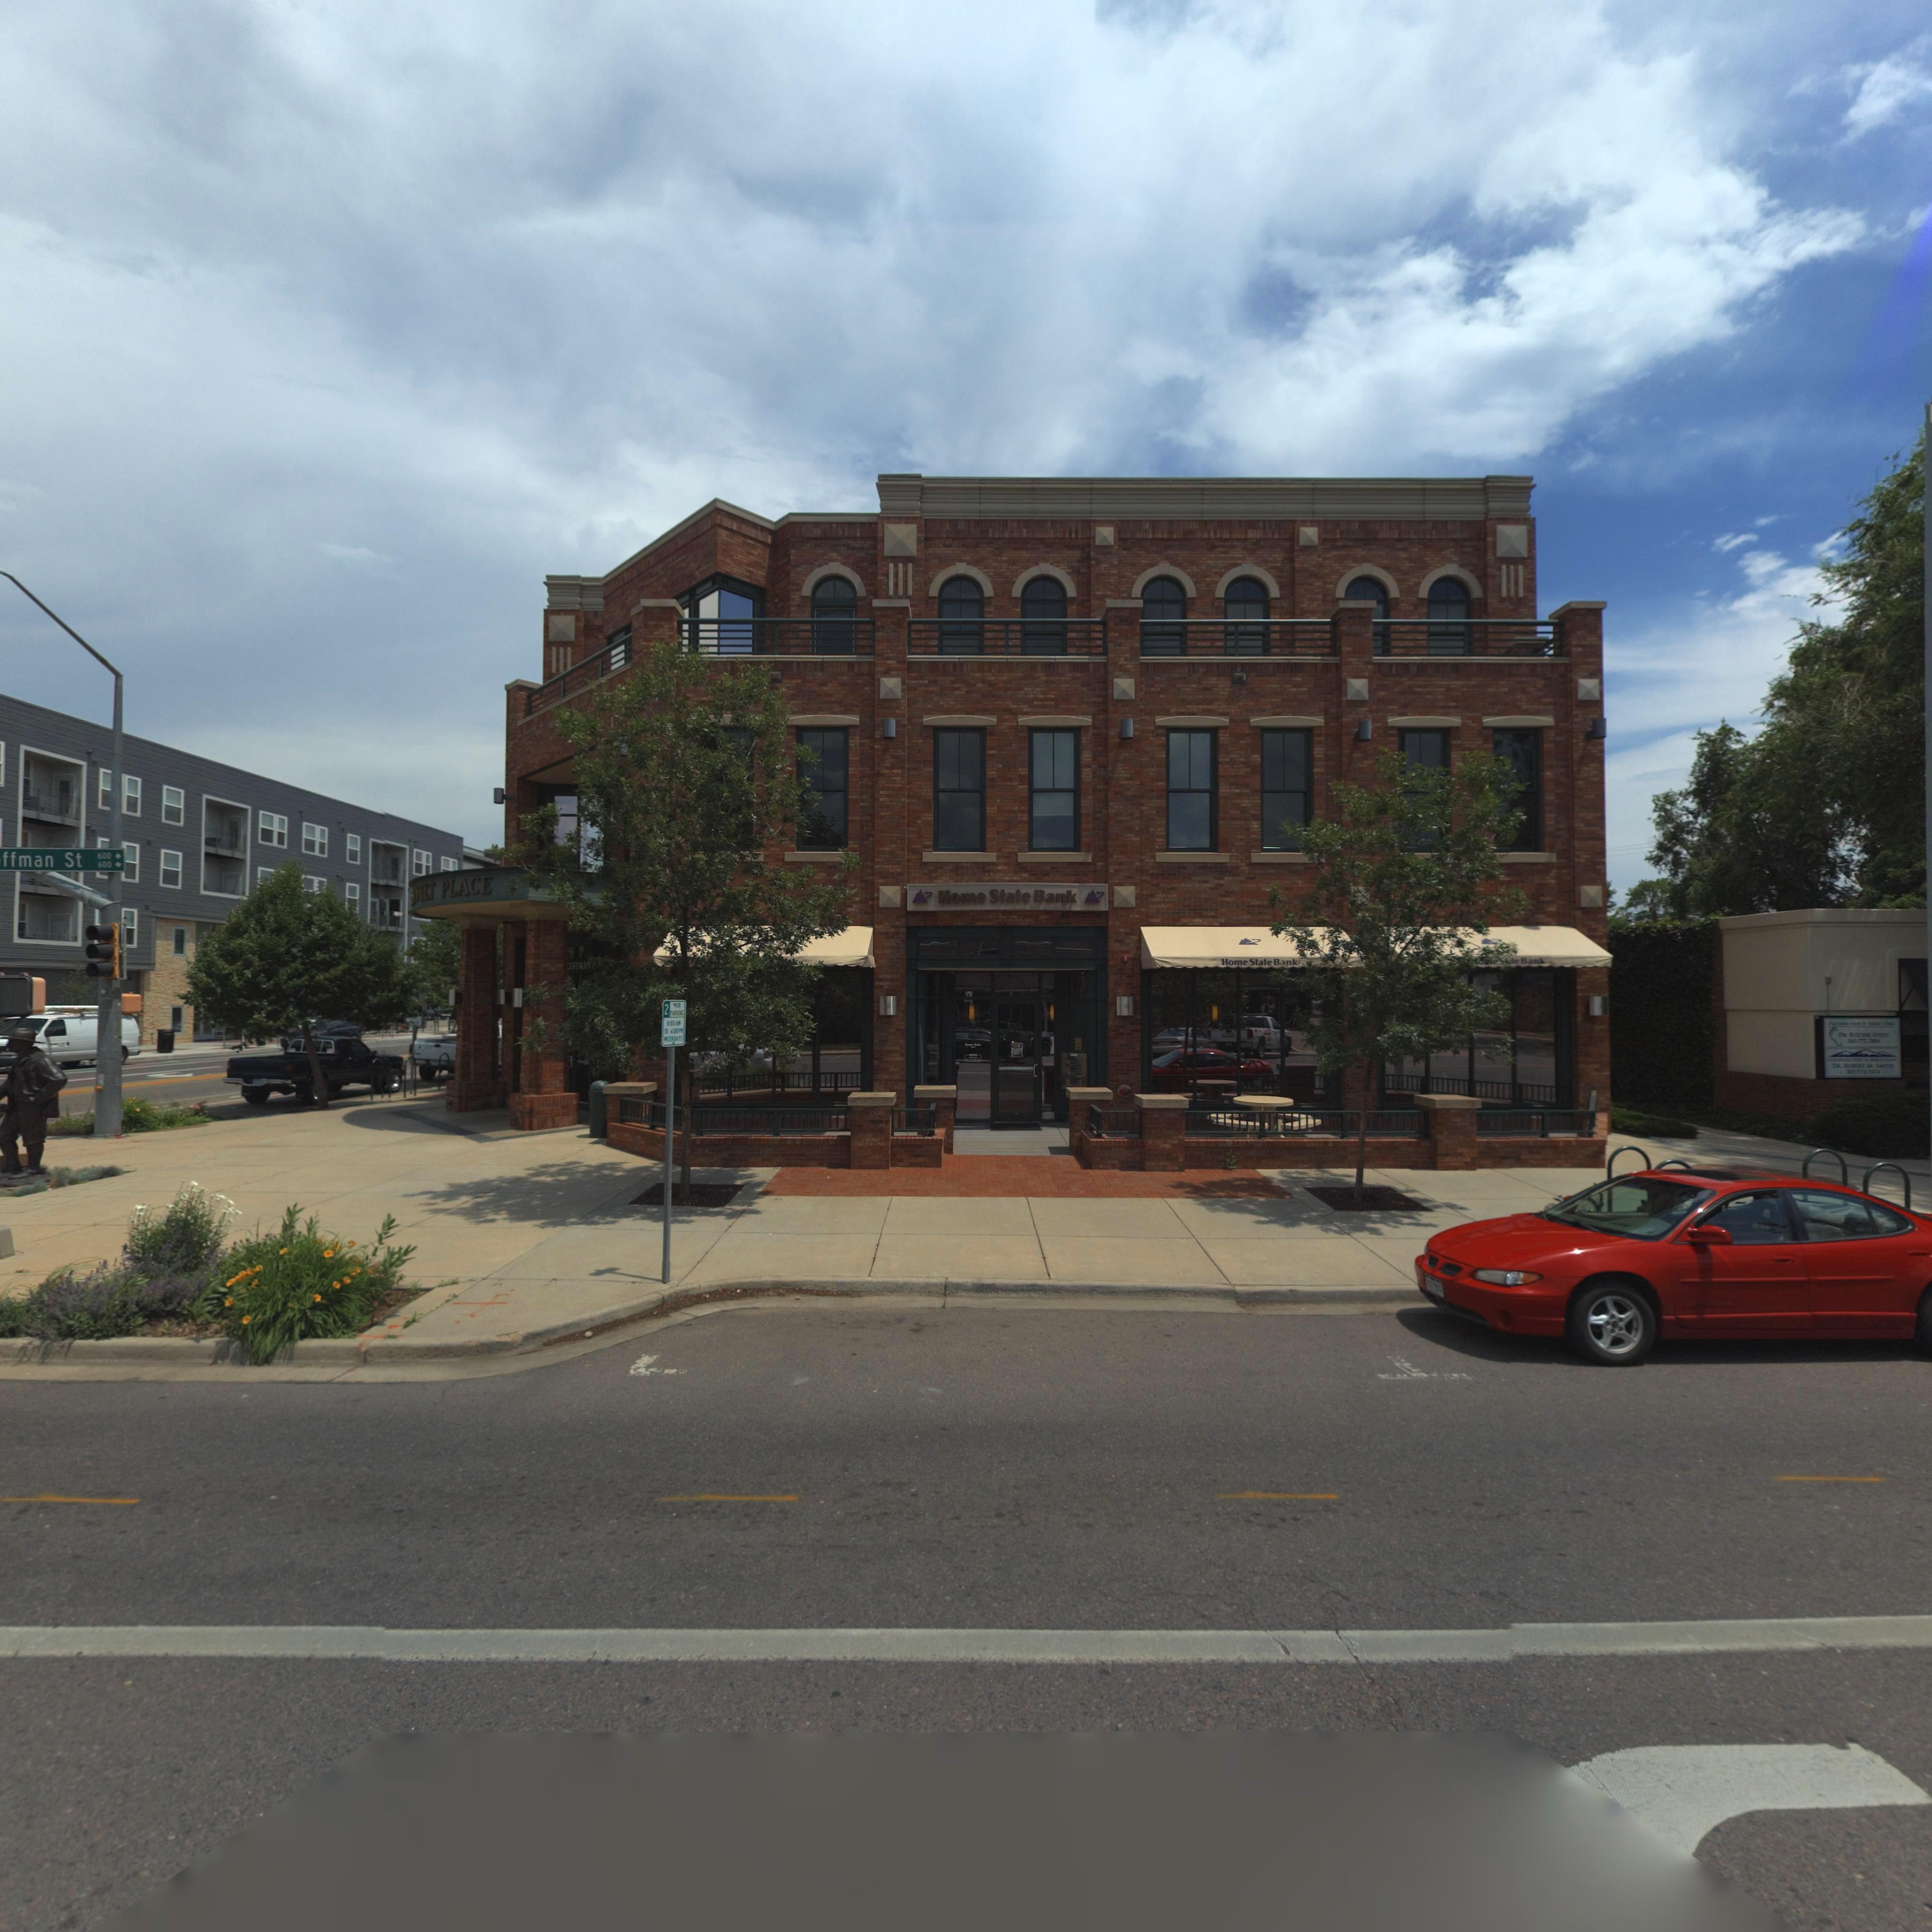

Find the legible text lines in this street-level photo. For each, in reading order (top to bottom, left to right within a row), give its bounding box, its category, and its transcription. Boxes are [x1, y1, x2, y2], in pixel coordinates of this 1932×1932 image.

[1, 850, 82, 868] StreetName: ffman St
[96, 851, 112, 860] StreetNumberRange: 600
[97, 860, 122, 869] StreetNumberRange: 600->
[418, 874, 493, 901] StreetName: EET PLACE
[937, 889, 1077, 905] BusinessName: Home State Bank 
[1221, 958, 1298, 966] BusinessName: Home State Bank